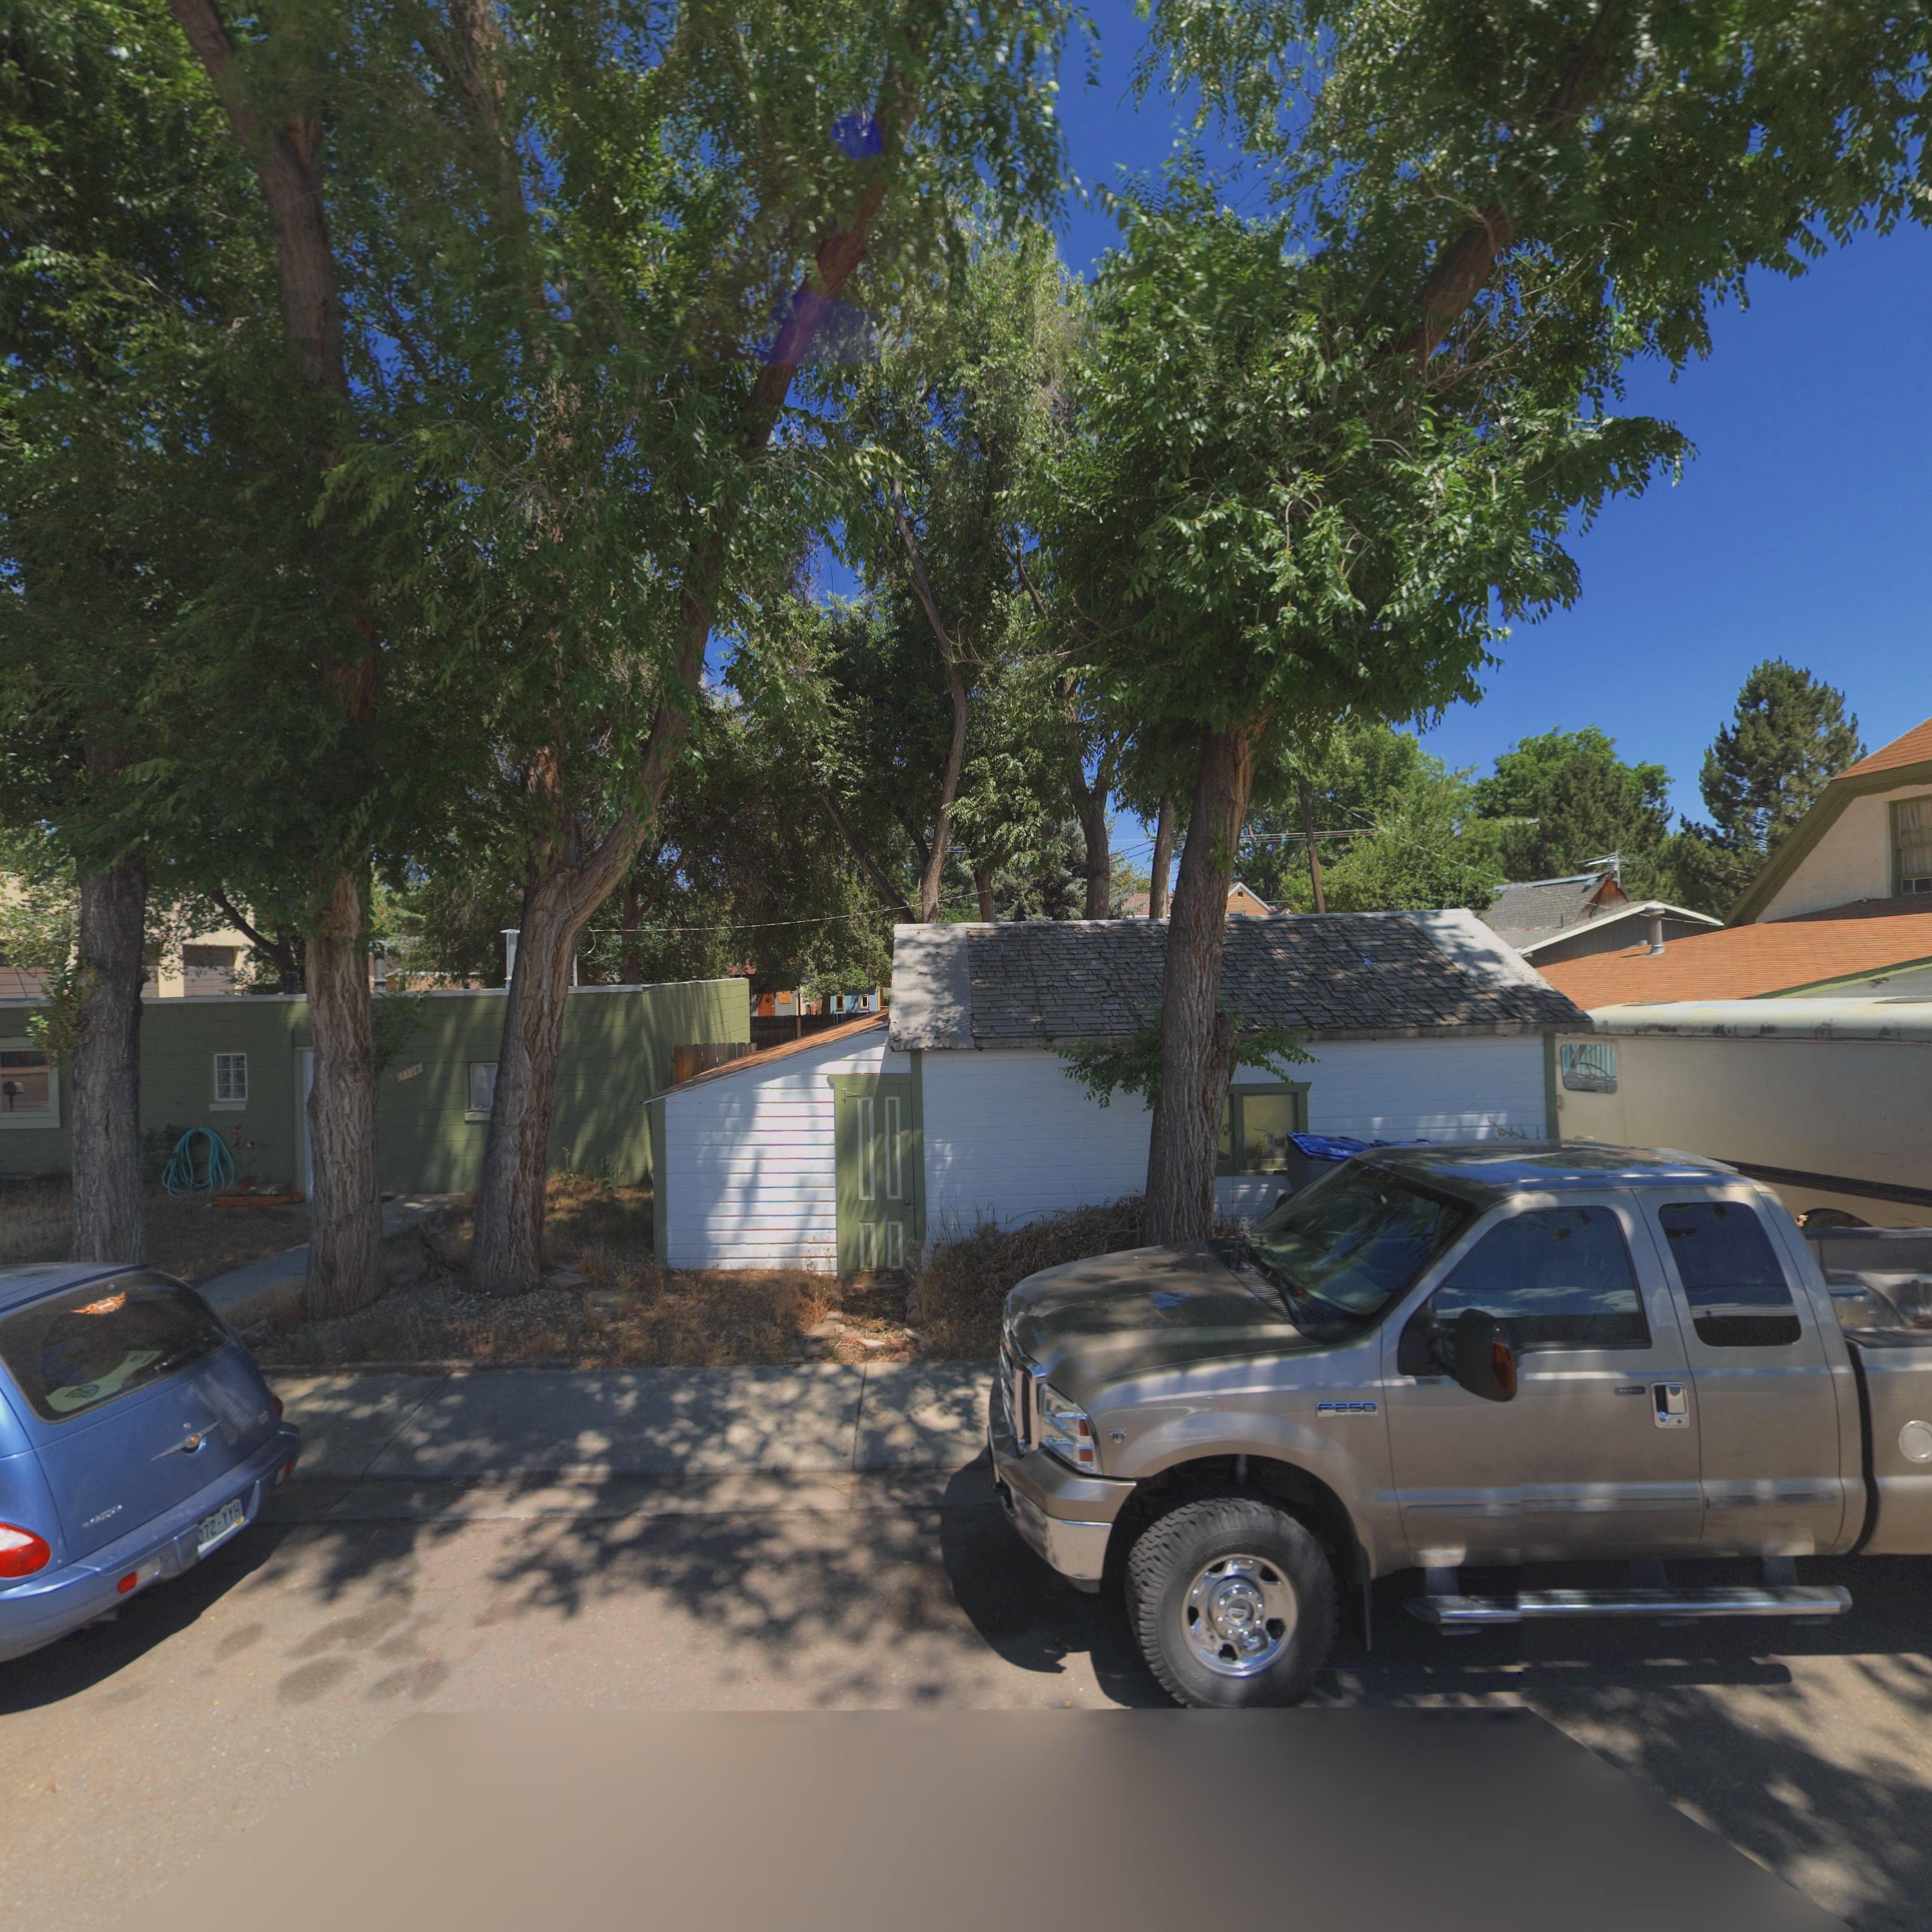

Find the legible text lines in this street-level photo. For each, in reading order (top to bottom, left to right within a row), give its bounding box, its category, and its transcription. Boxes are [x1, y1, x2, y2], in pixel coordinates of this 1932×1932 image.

[400, 1064, 419, 1079] StreetNumber: 1108